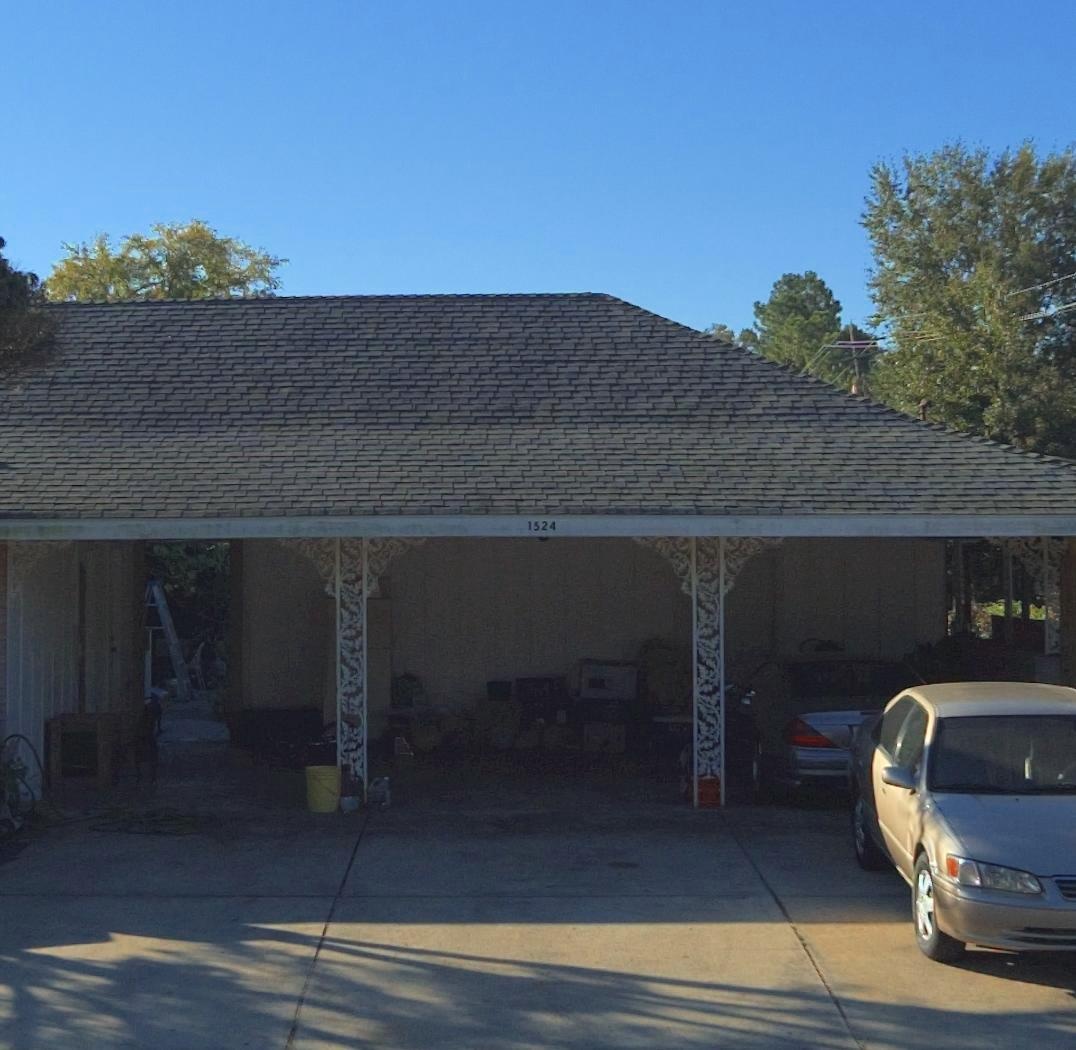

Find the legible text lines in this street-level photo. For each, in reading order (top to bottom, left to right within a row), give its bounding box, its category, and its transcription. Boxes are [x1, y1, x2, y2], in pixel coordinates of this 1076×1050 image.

[526, 519, 558, 533] StreetNumber: 1524